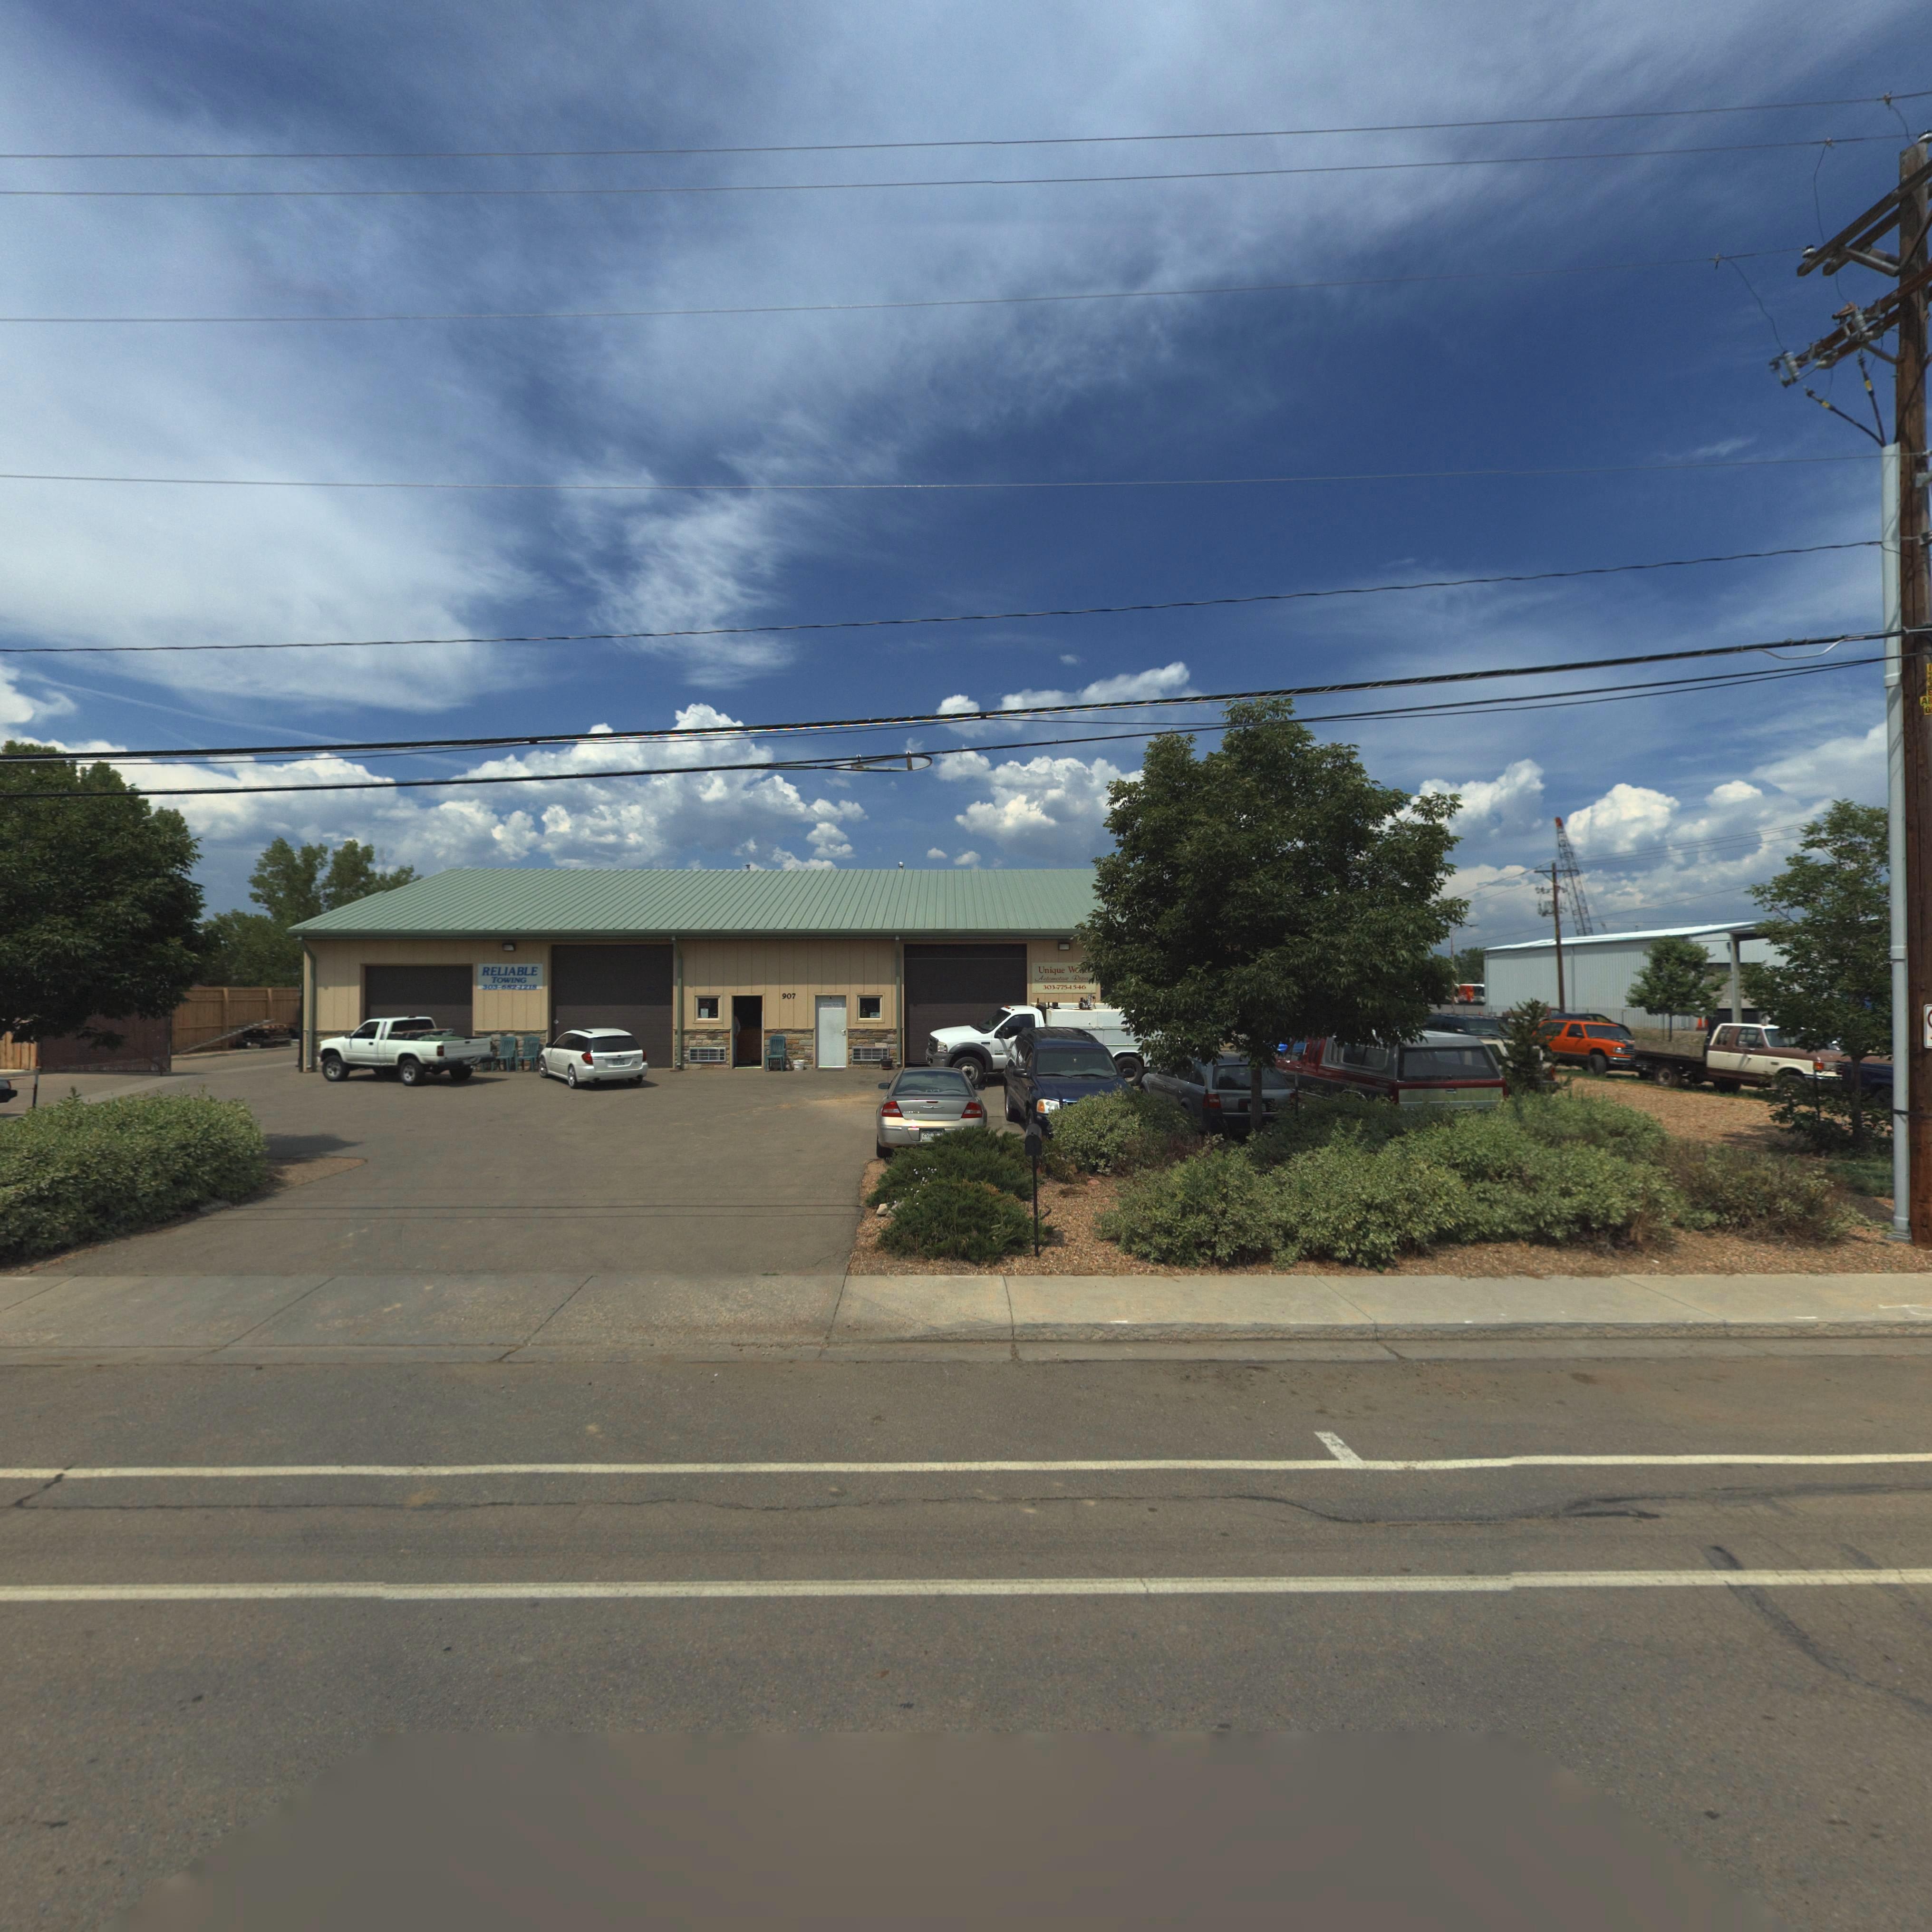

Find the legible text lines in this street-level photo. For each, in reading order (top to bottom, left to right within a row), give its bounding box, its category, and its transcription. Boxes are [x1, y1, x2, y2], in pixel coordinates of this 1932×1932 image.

[482, 966, 538, 976] BusinessName: RELIABLE
[1038, 965, 1090, 975] BusinessName: Unique W****
[491, 976, 527, 983] BusinessName: TOWING
[1036, 975, 1091, 982] BusinessName: Automotive Repai
[782, 993, 796, 999] StreetNumber: 907